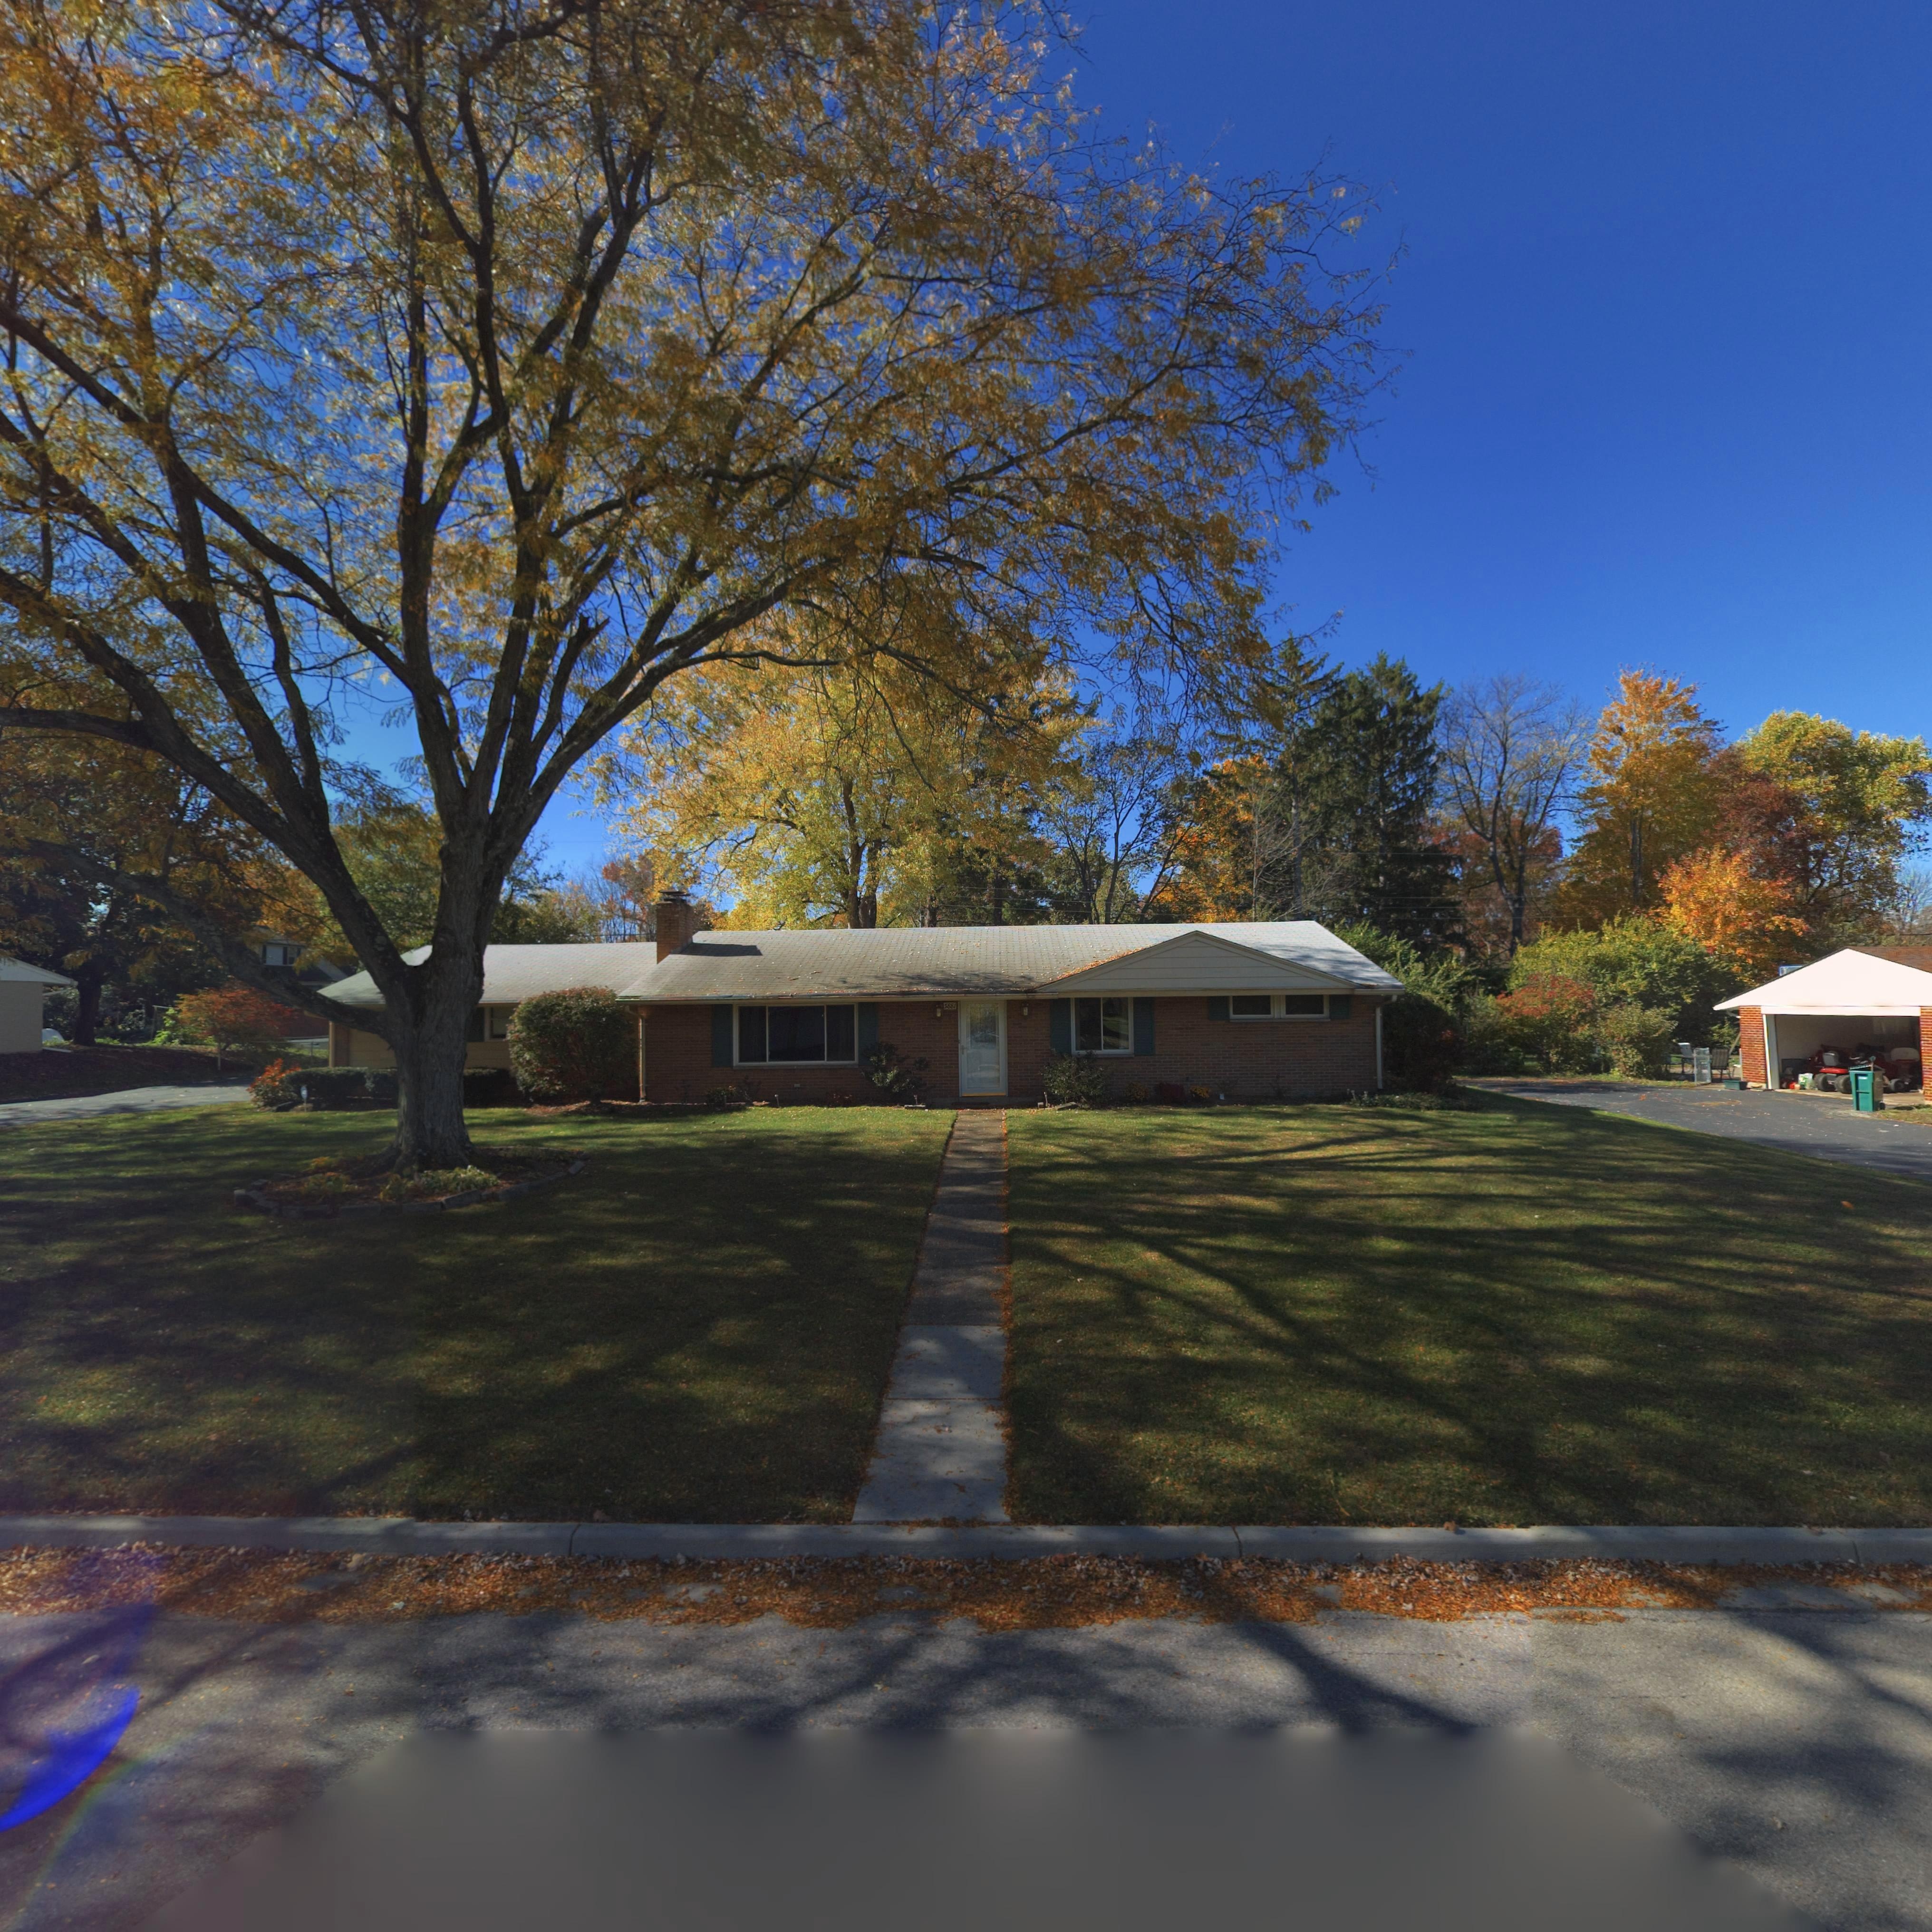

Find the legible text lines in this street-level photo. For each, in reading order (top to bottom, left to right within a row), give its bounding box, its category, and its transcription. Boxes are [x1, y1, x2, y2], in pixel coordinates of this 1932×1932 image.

[944, 1003, 956, 1009] StreetNumber: 5881